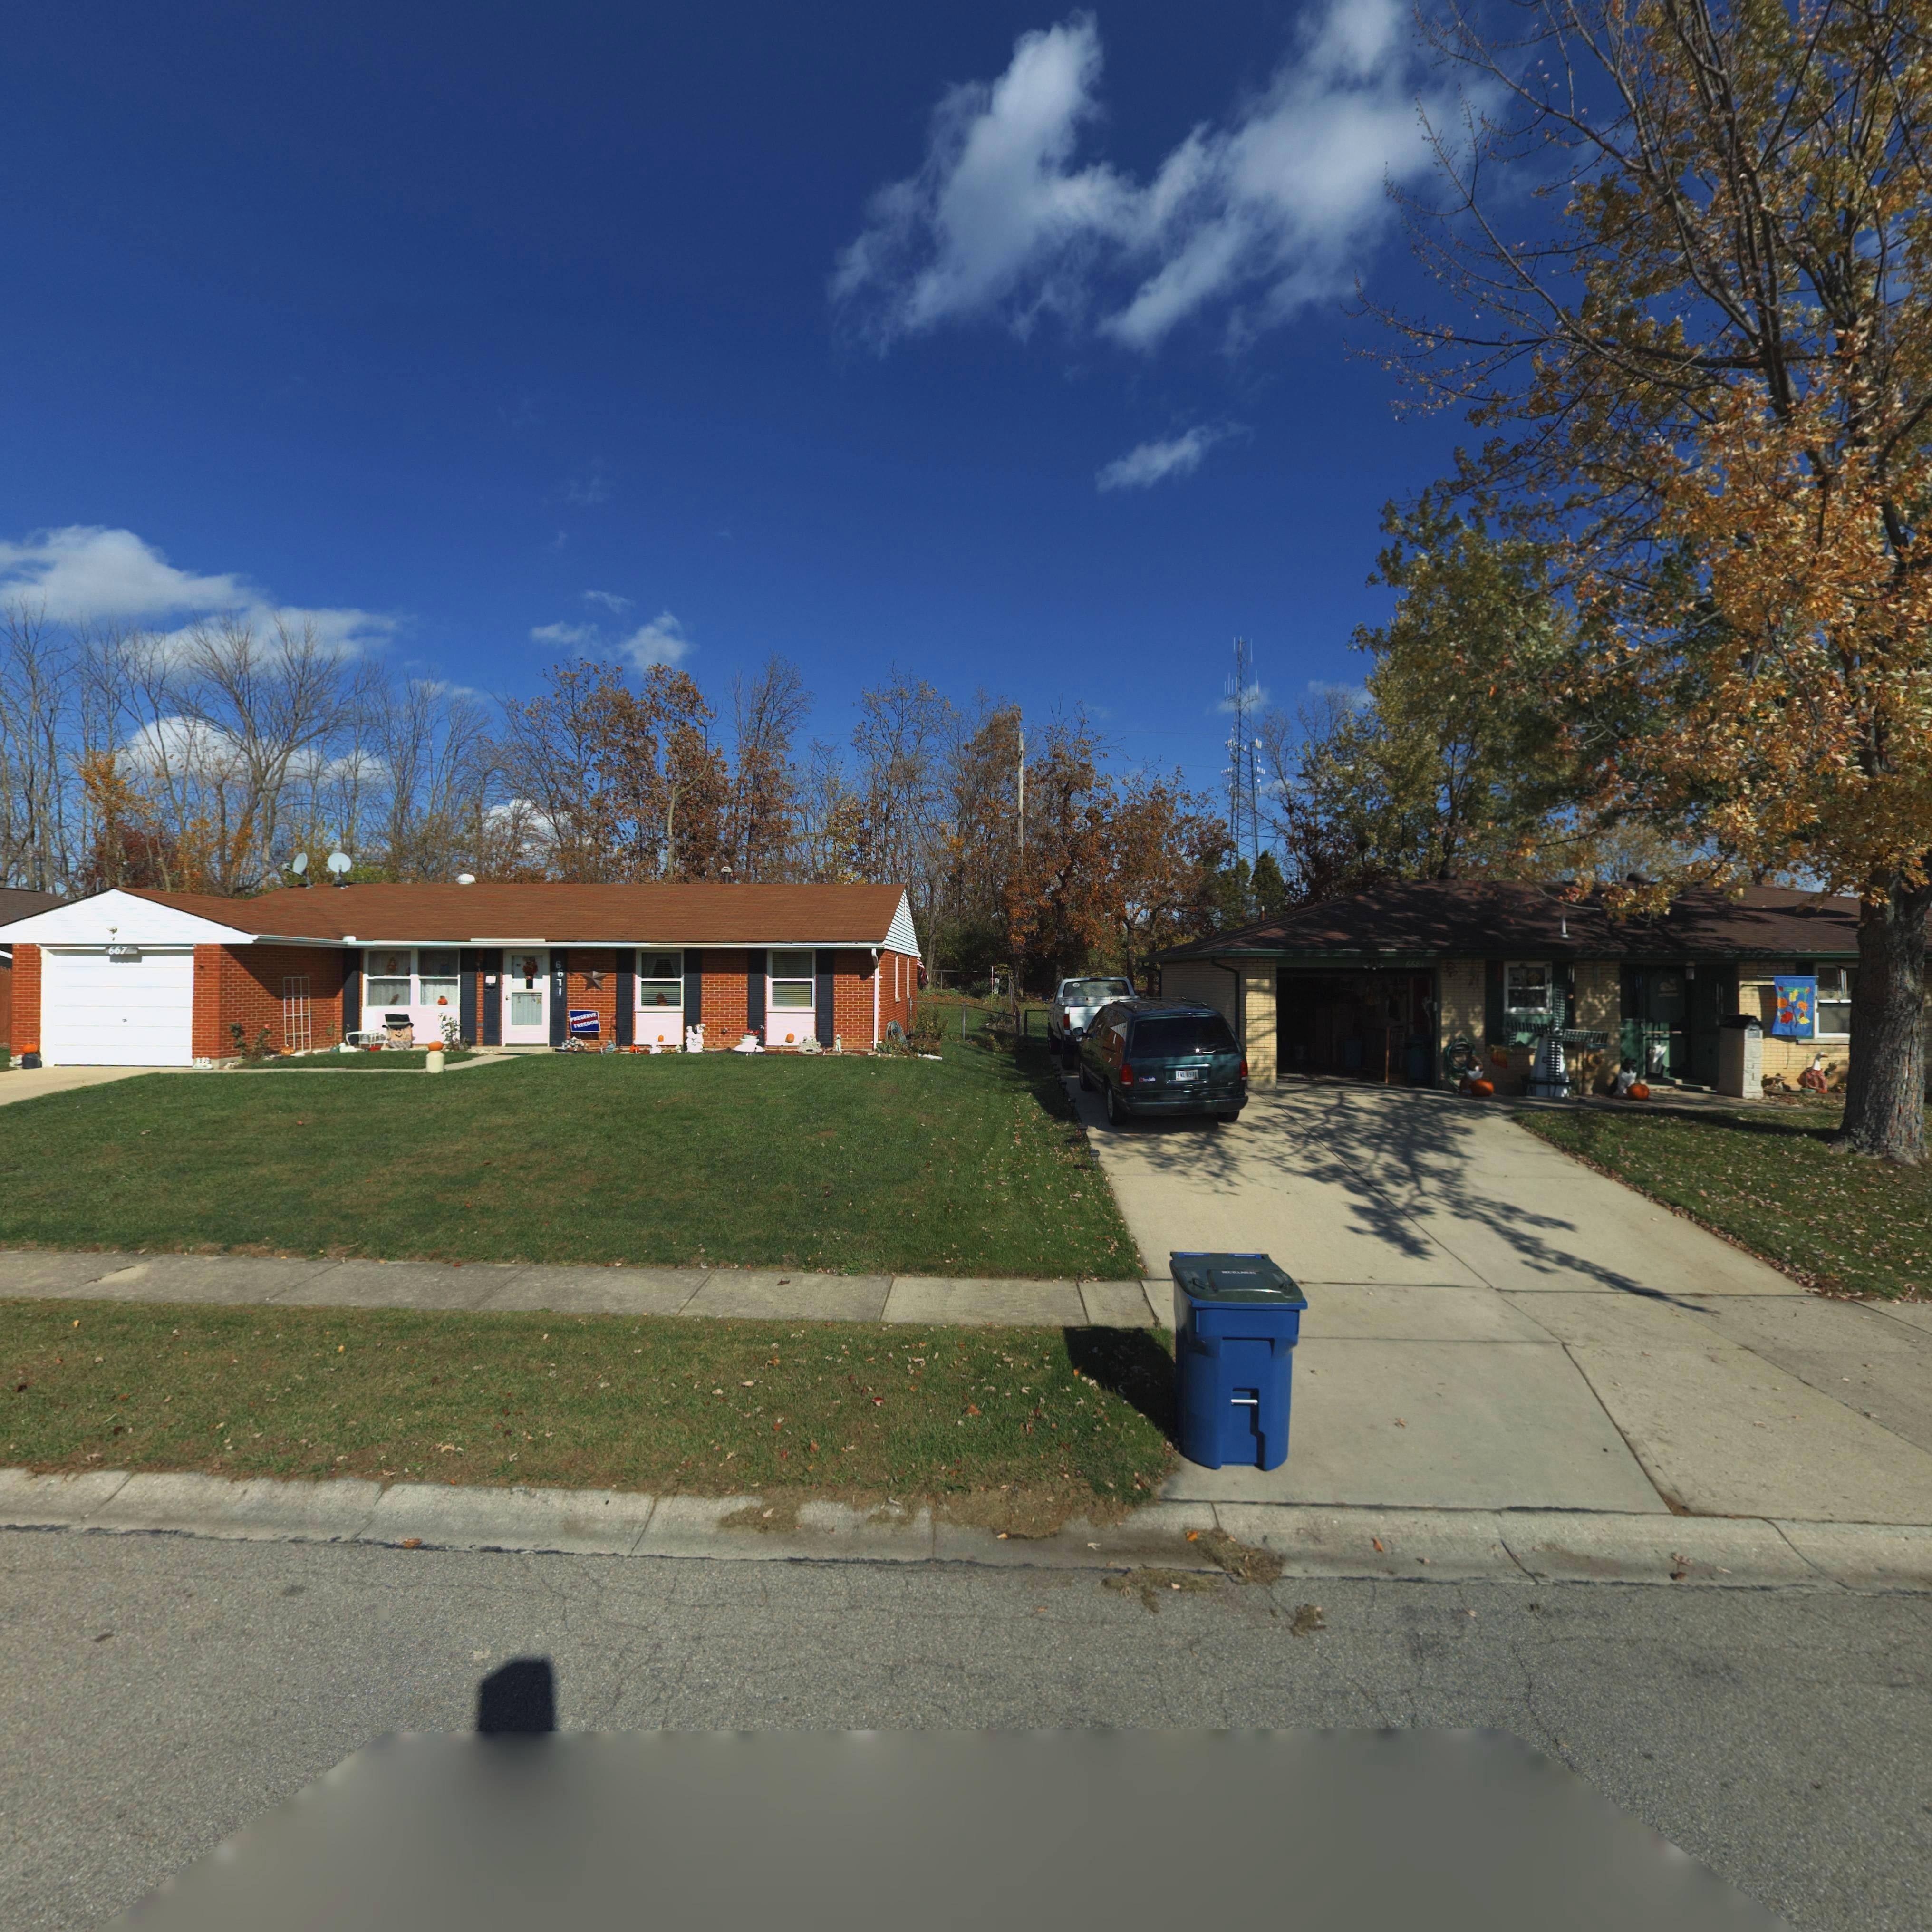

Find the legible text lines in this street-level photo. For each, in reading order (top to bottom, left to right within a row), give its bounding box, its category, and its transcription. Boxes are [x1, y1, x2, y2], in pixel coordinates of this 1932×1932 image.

[107, 945, 128, 955] StreetNumber: 667
[1405, 959, 1426, 969] StreetNumber: 6681
[555, 960, 564, 996] StreetNumber: 6671